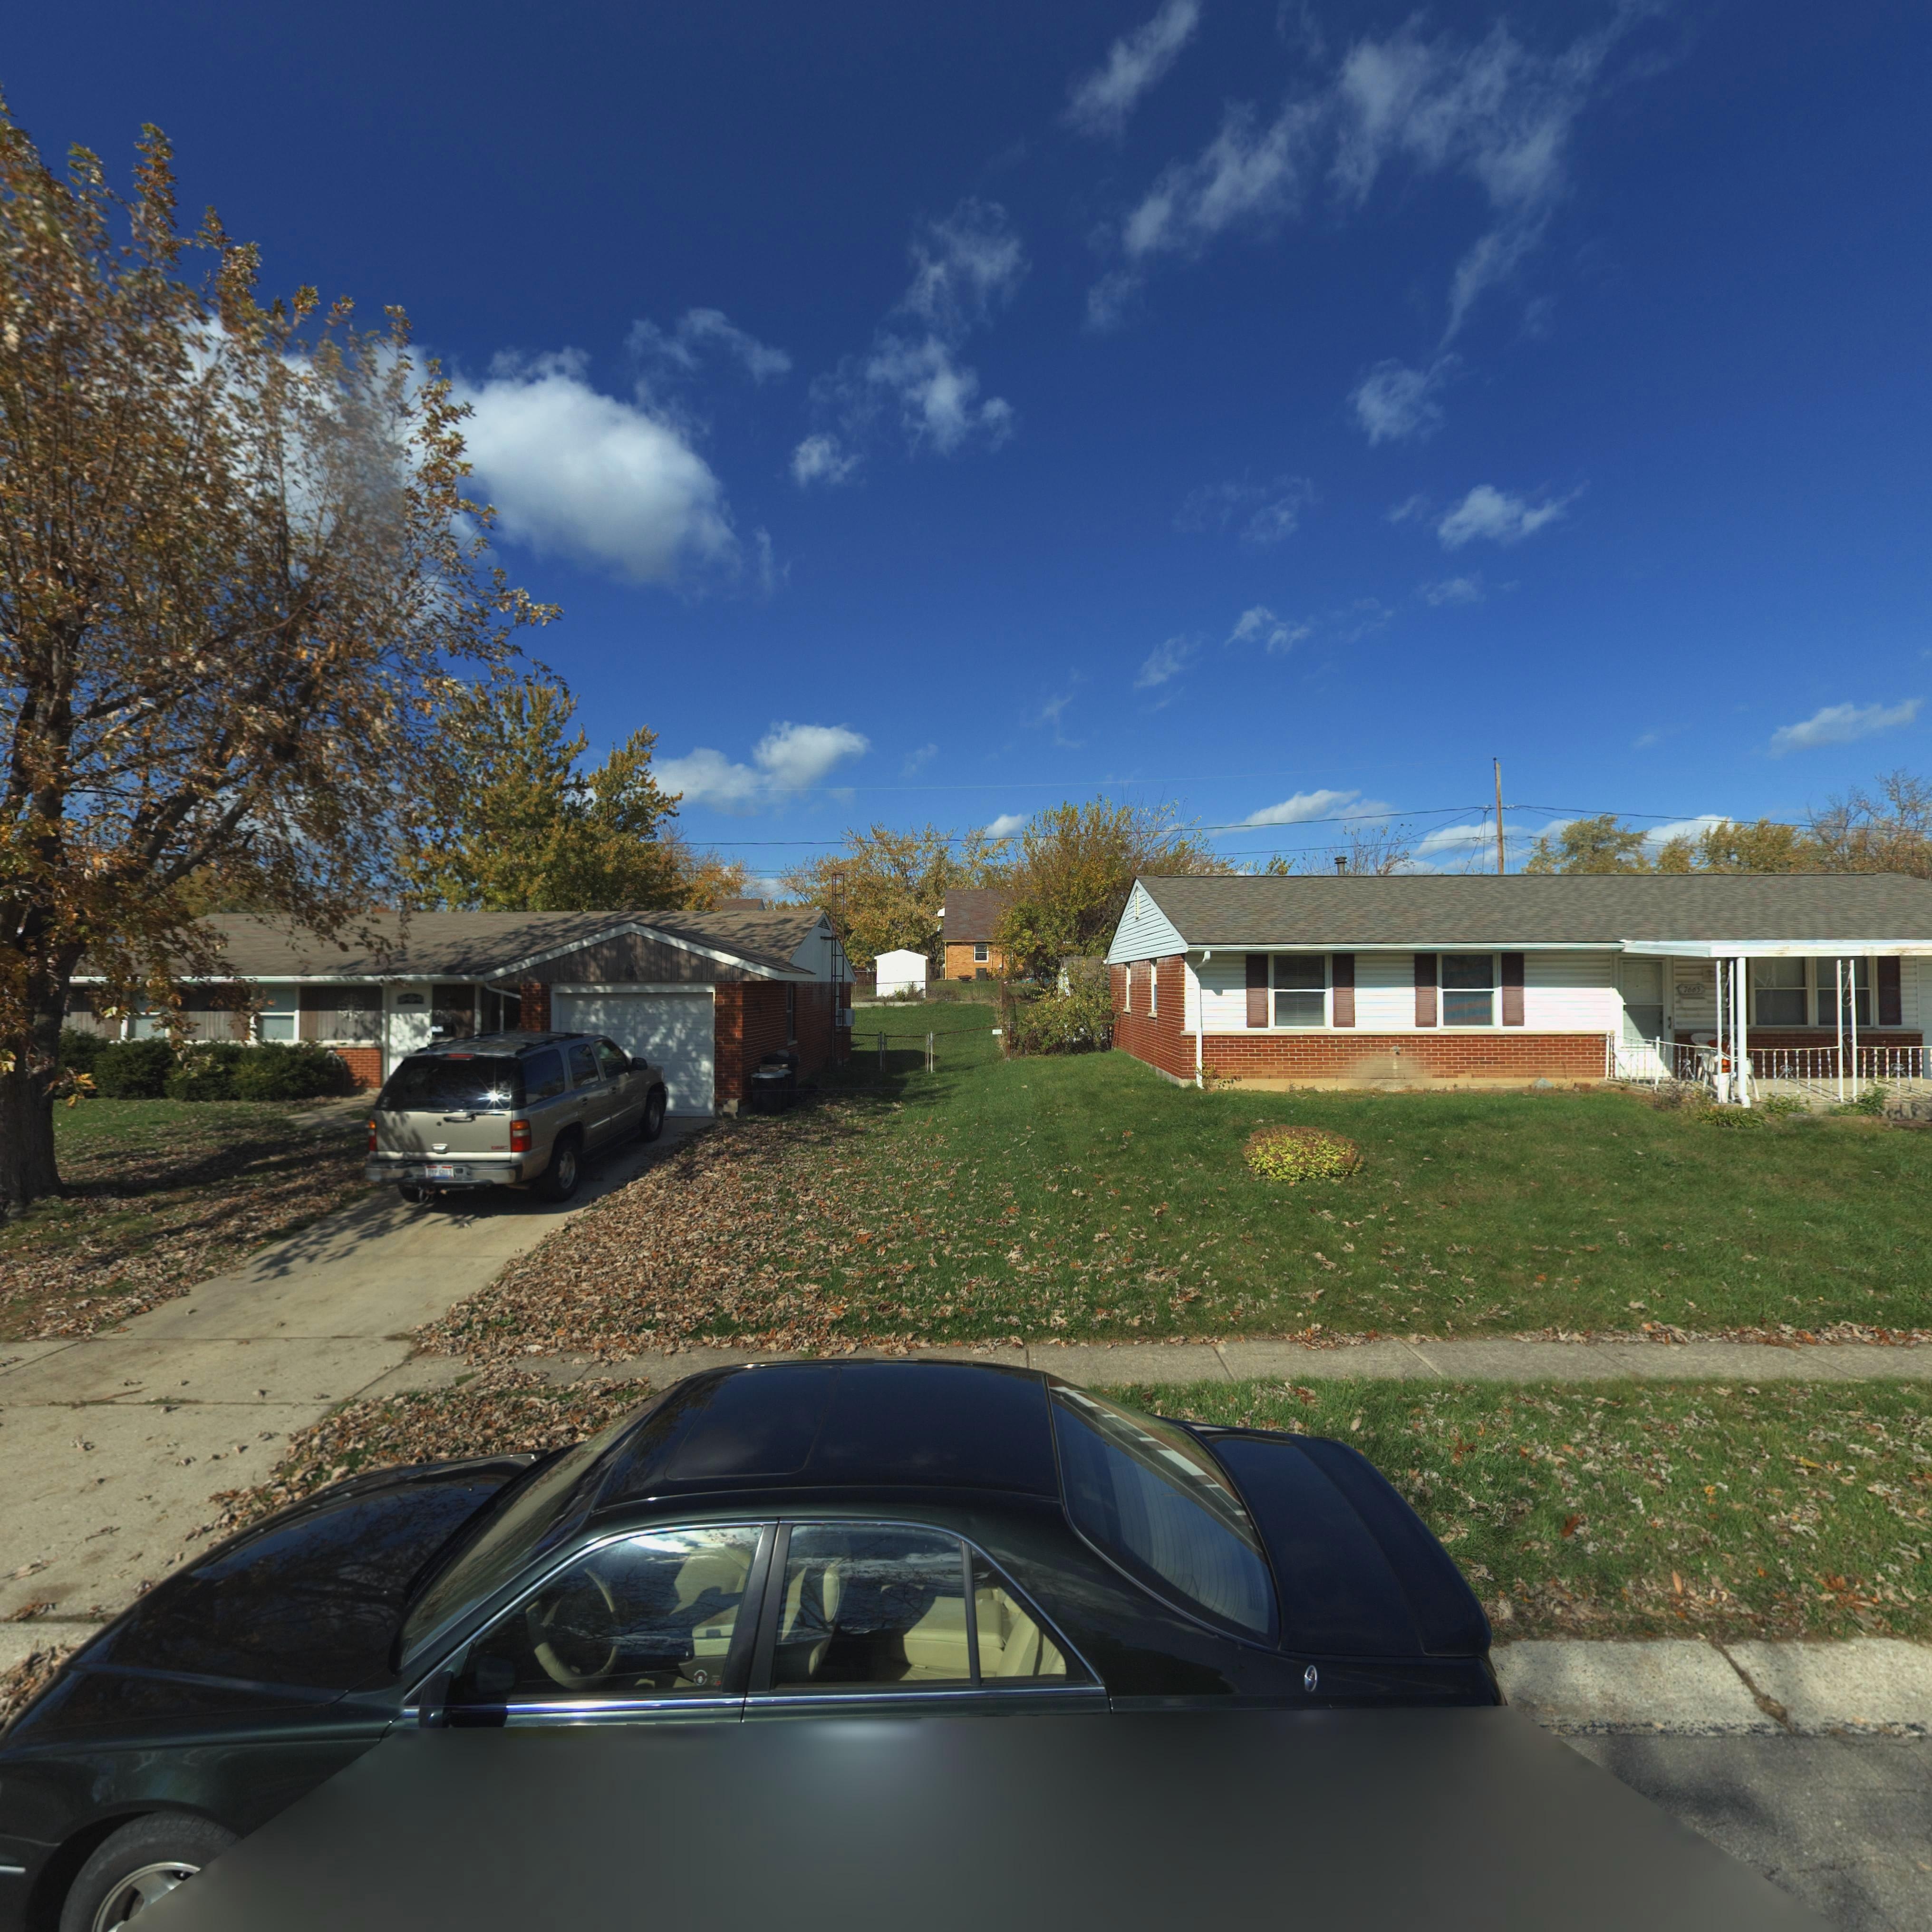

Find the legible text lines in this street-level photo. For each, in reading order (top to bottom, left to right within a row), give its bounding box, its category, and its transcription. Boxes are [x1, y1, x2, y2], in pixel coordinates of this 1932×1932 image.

[1683, 985, 1700, 993] StreetNumber: 7665
[435, 1009, 440, 1016] StreetNumber: 7